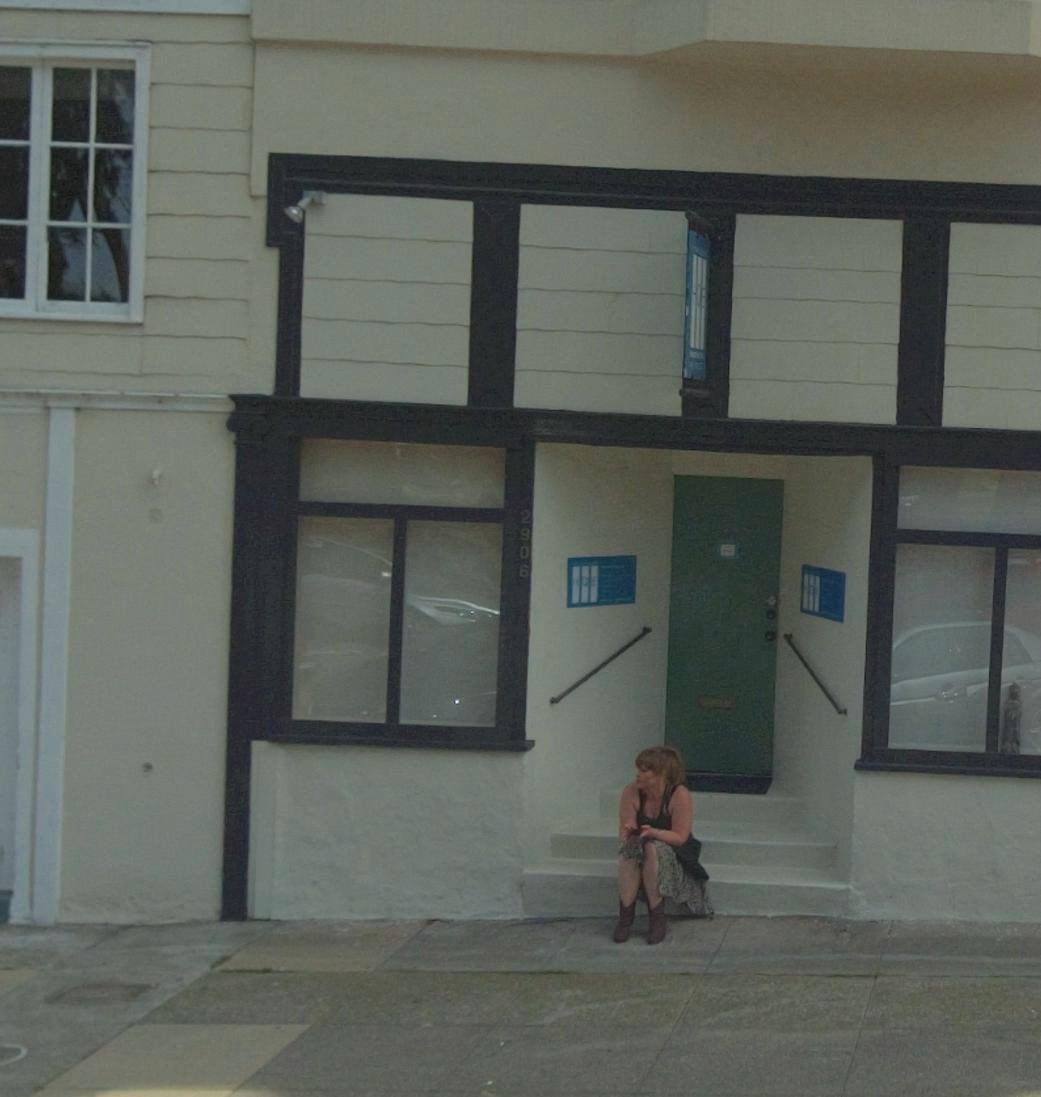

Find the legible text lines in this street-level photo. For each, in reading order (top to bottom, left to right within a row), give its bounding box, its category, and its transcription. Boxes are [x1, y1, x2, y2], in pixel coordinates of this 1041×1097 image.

[516, 507, 533, 580] StreetNumber: 2906